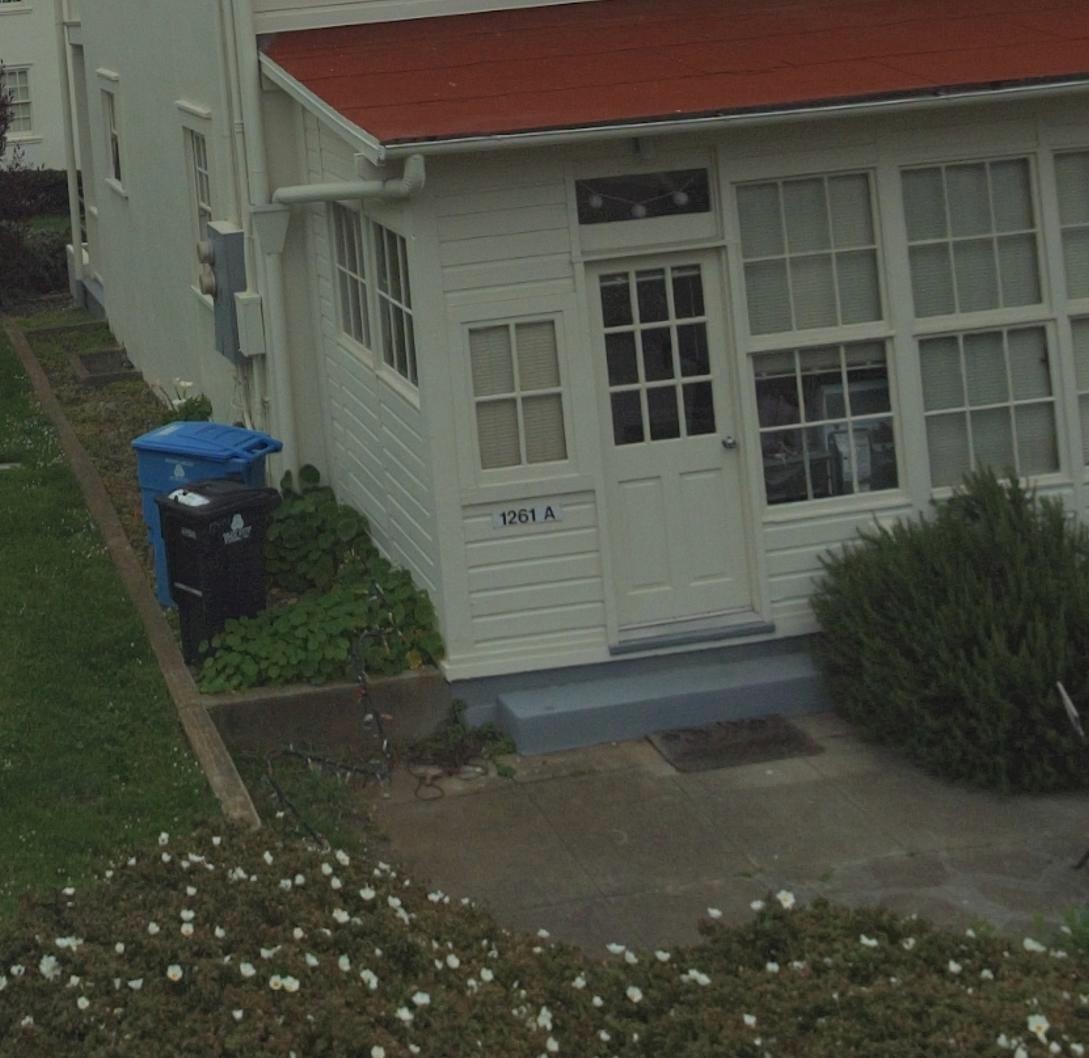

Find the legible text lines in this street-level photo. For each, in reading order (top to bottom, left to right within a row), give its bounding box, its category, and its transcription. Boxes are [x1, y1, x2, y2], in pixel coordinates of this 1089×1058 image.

[499, 504, 559, 527] StreetNumber: 1261 A